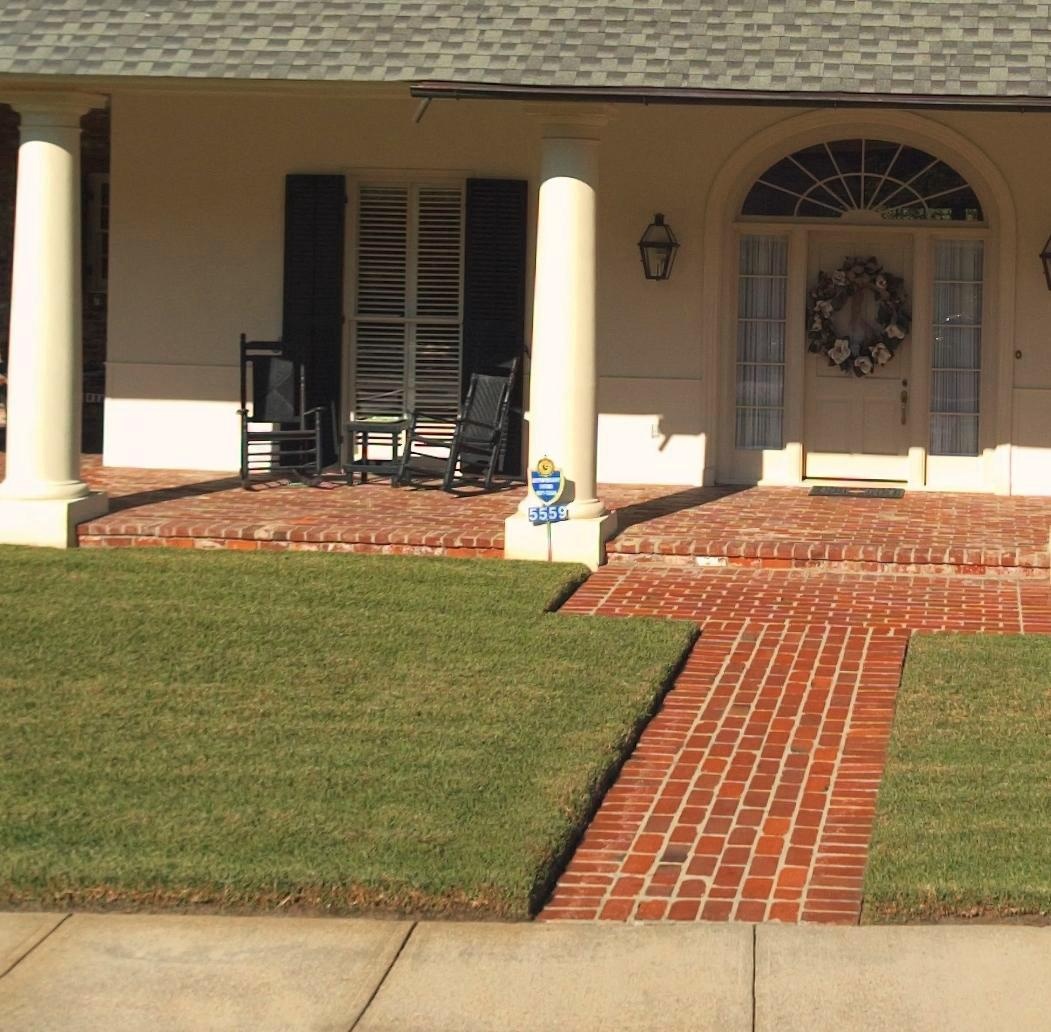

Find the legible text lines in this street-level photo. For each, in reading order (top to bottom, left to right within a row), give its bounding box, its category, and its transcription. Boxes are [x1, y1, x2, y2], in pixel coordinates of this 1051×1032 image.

[527, 505, 569, 523] StreetNumber: 5559